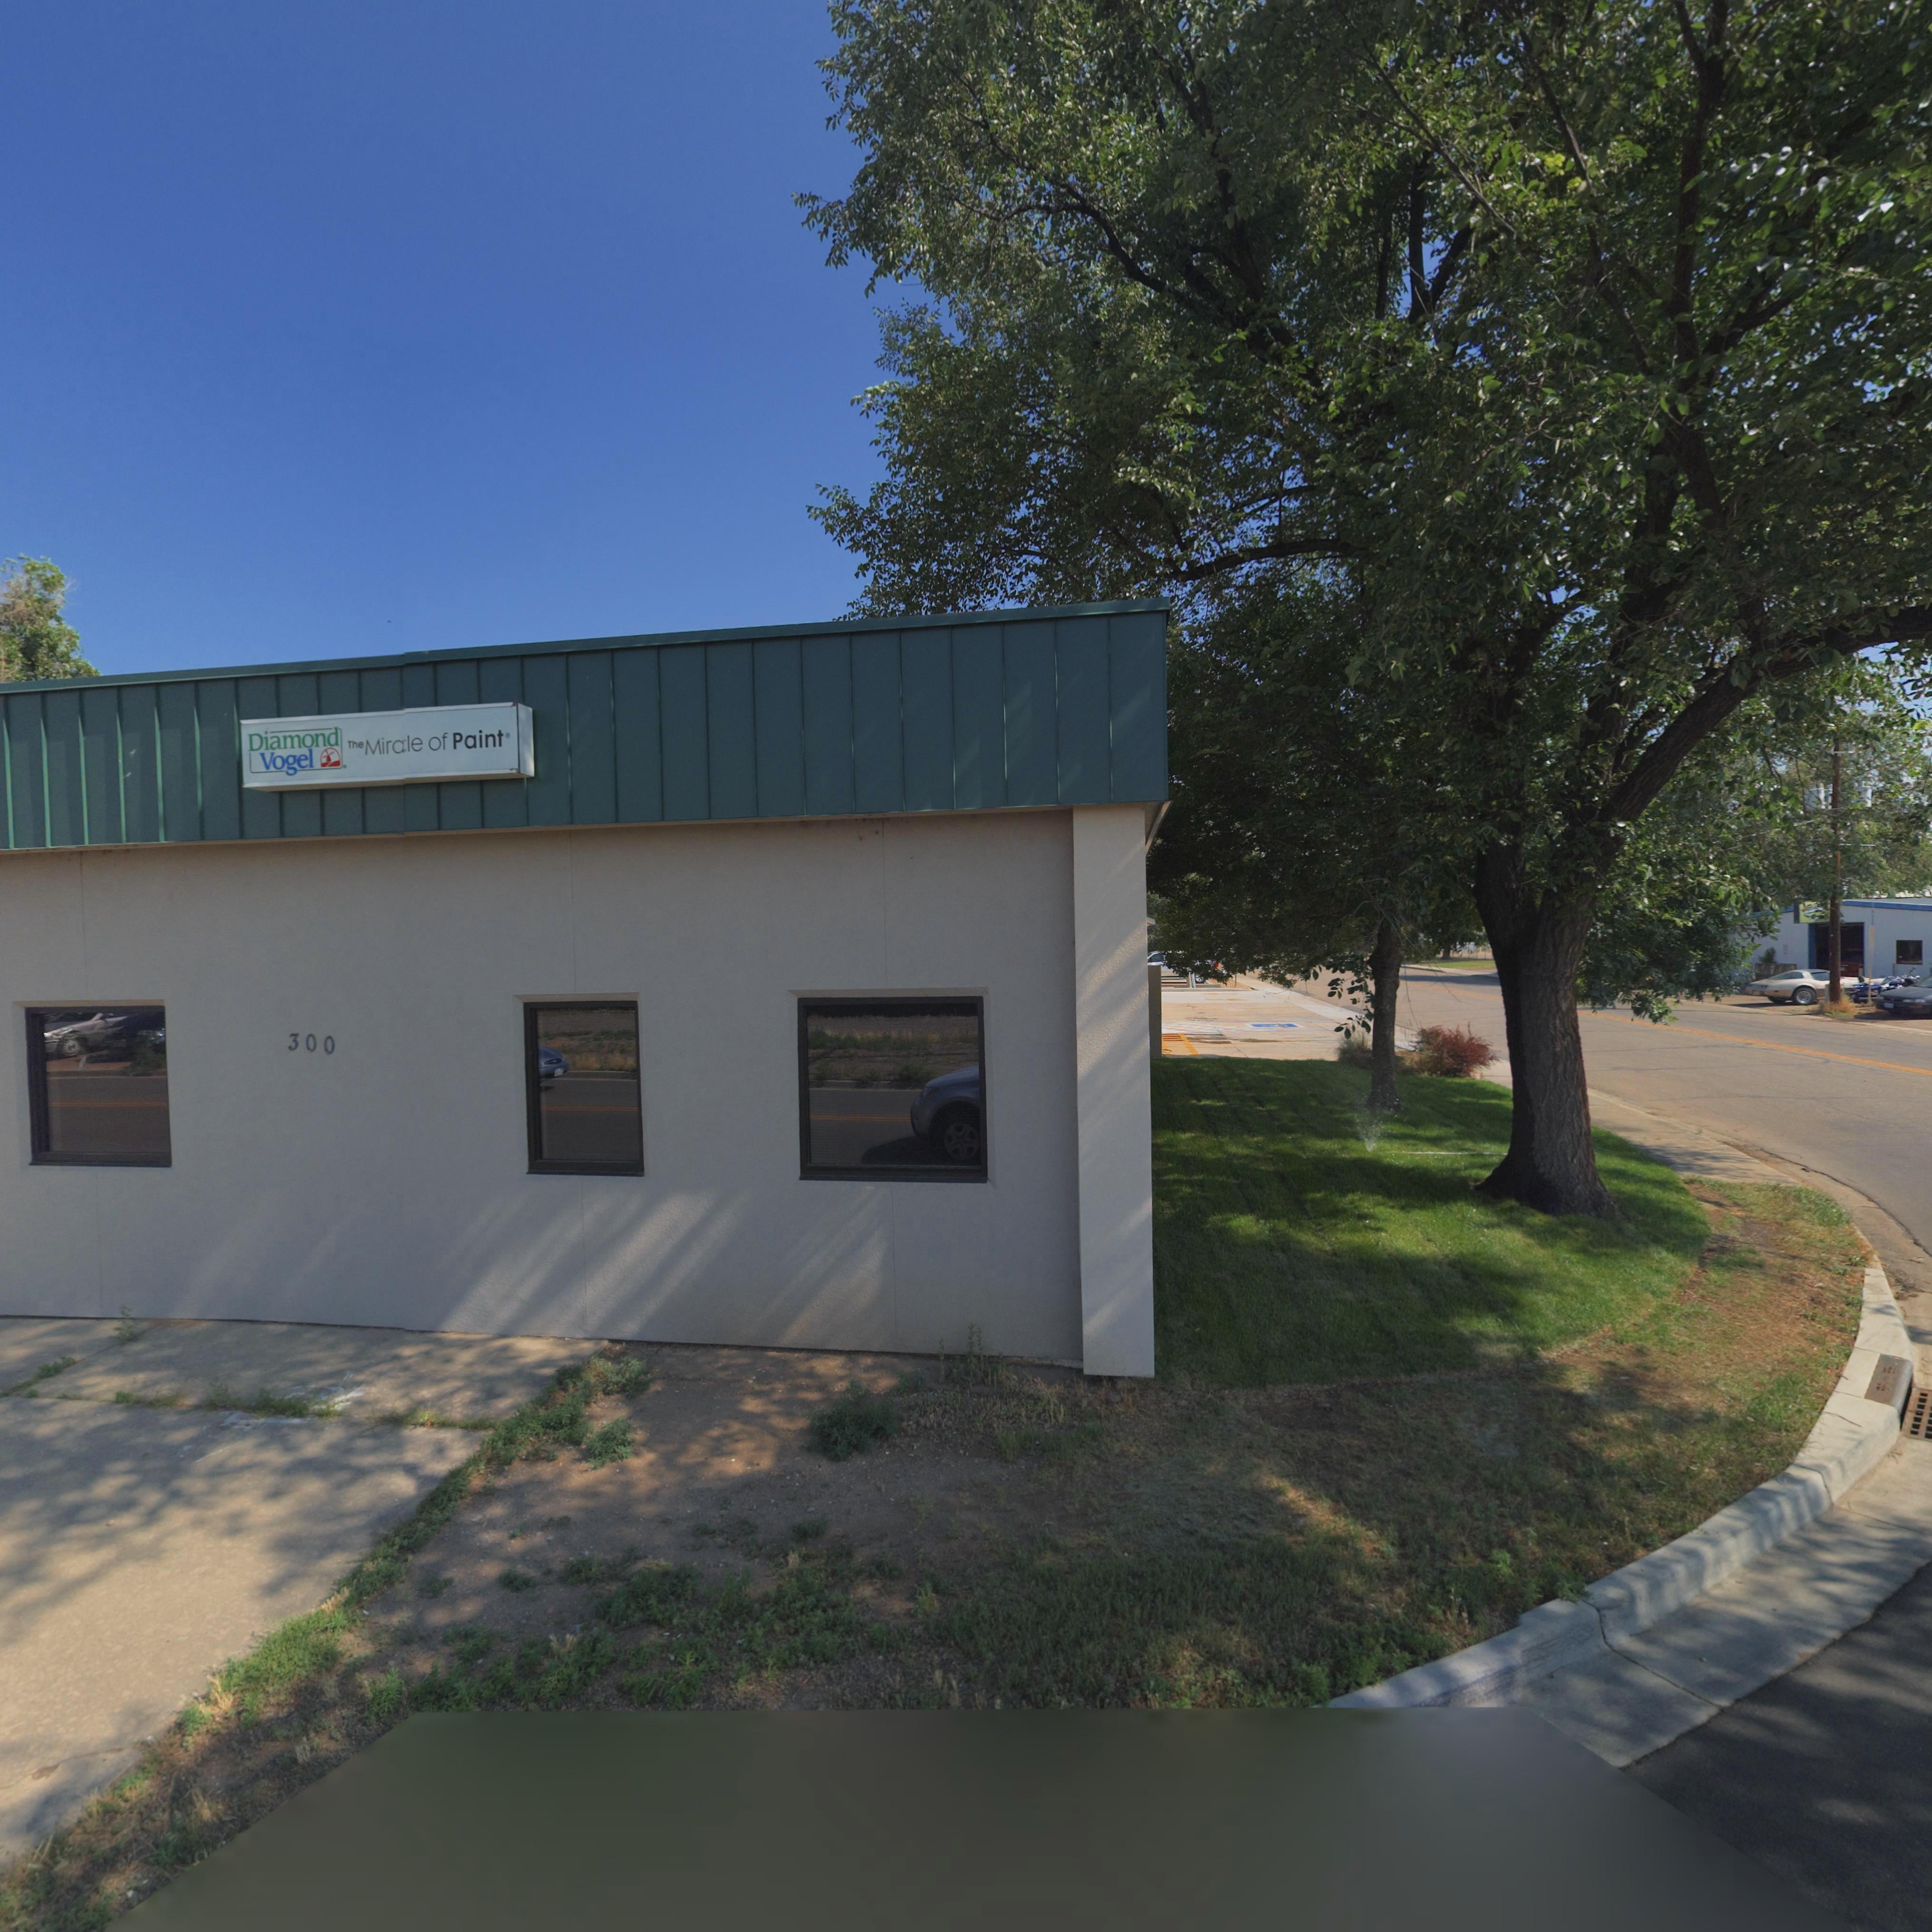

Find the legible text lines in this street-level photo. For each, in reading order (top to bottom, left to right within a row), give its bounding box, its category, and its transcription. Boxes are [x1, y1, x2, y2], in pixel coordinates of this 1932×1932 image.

[248, 726, 339, 752] BusinessName: Diamond
[347, 740, 364, 749] BusinessName: The
[364, 728, 504, 756] BusinessName: Mira*le of Paint
[257, 747, 315, 776] BusinessName: Vogel
[287, 1032, 336, 1056] StreetNumber: 300